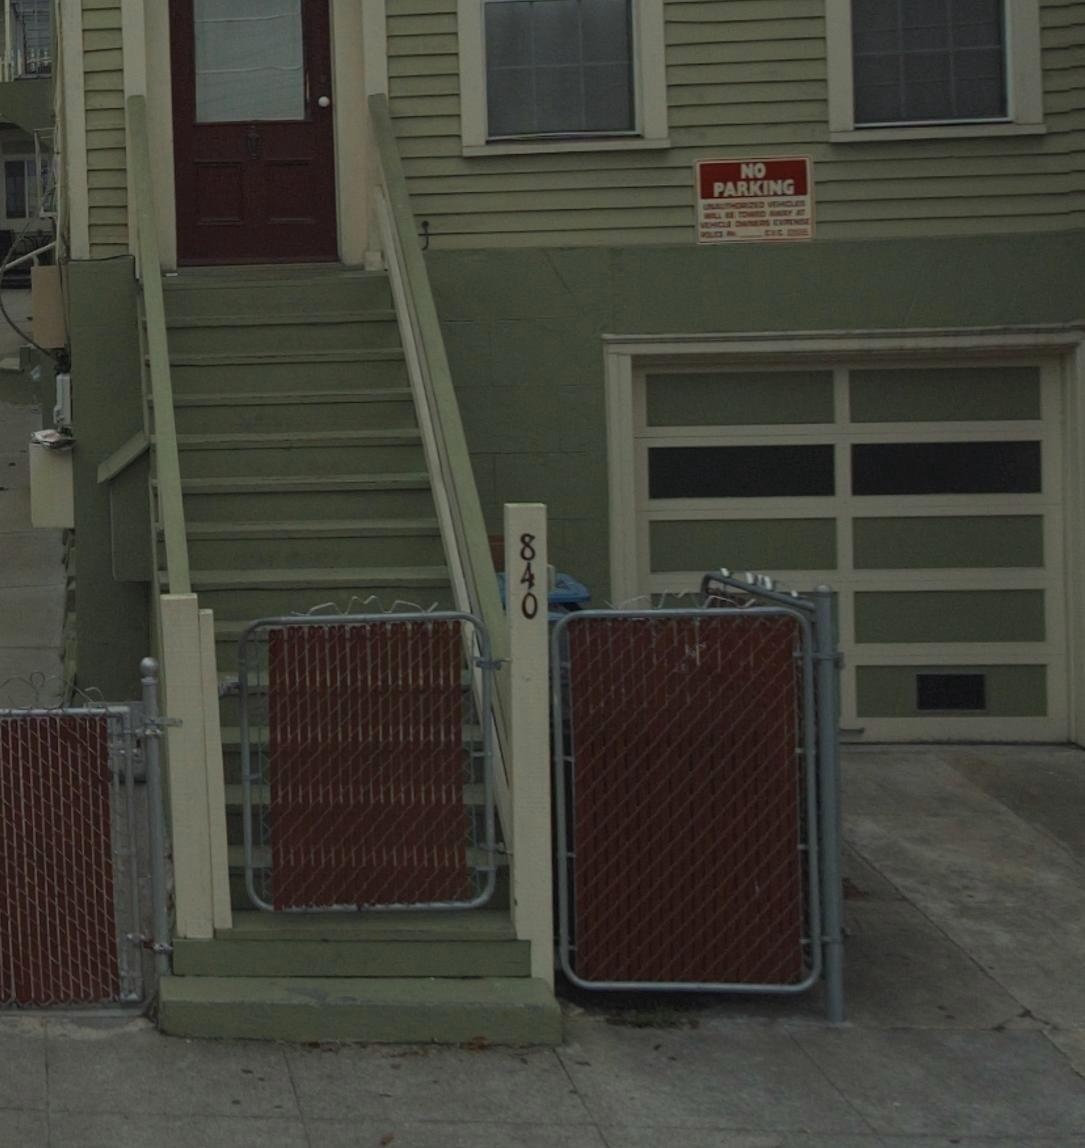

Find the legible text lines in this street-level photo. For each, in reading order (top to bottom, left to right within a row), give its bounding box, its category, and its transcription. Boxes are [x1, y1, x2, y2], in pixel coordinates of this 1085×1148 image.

[738, 162, 767, 180] None: NO
[711, 178, 796, 198] None: PARKING
[517, 531, 540, 622] StreetNumber: 840